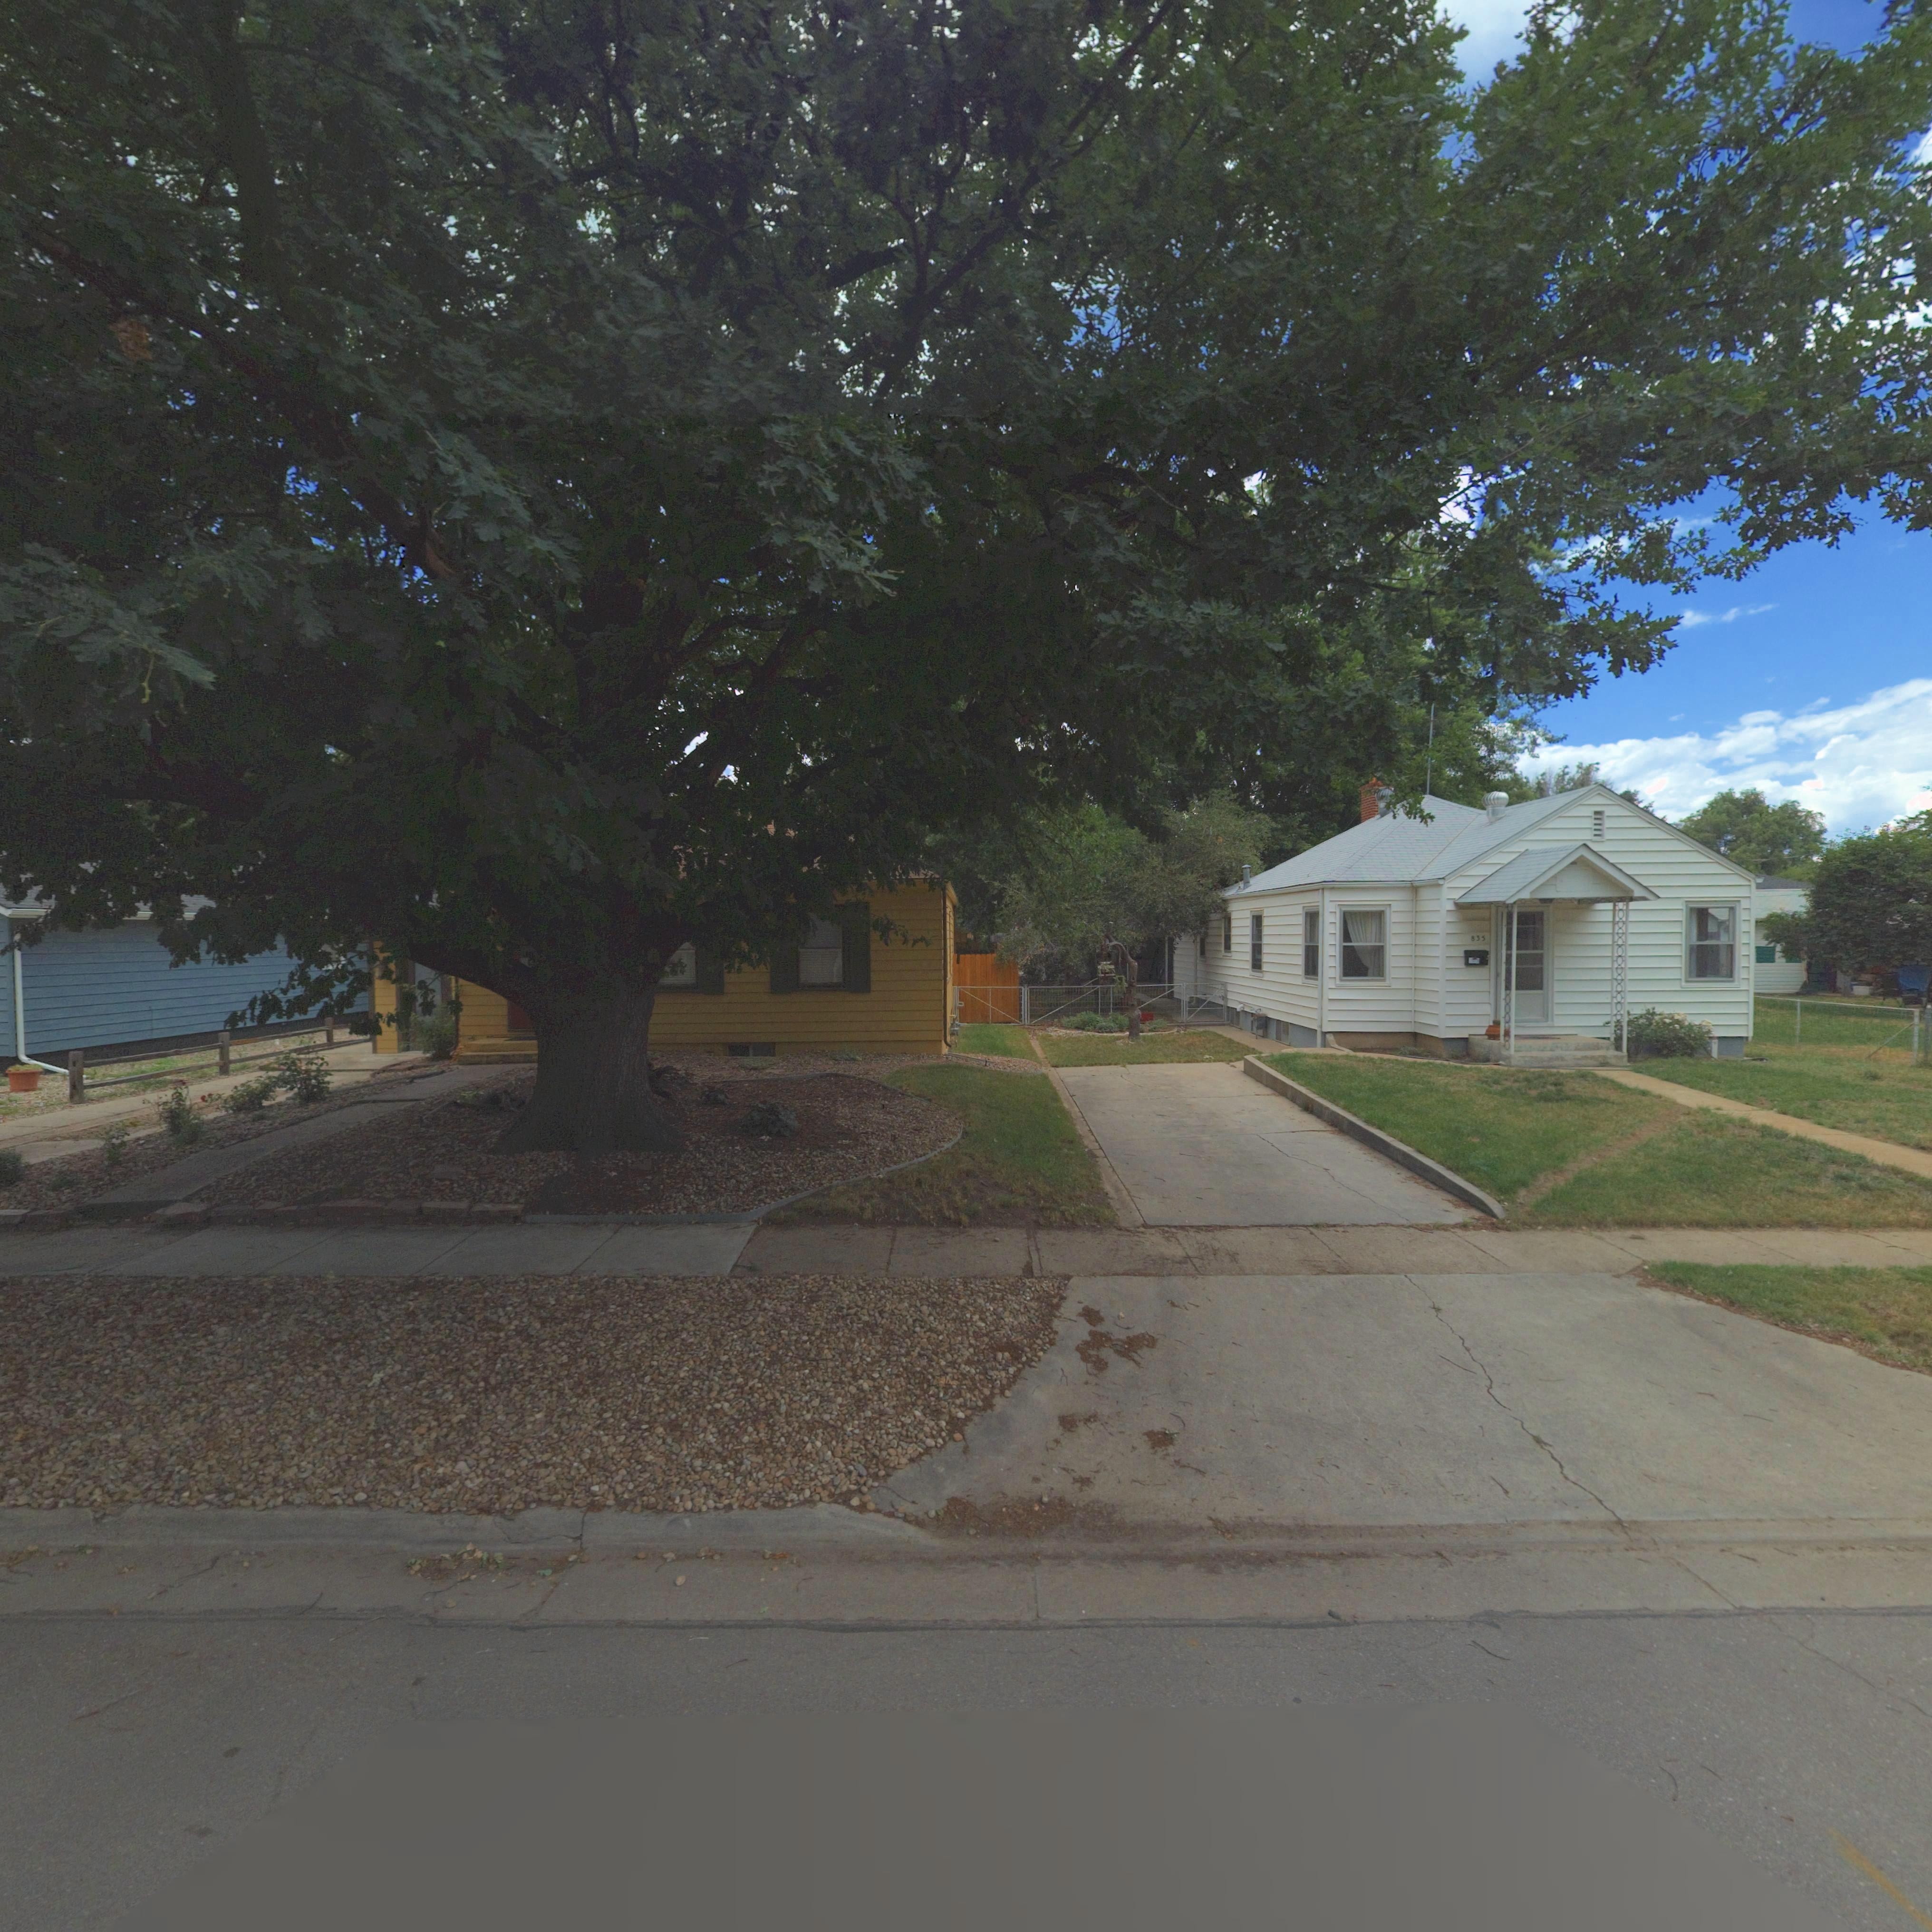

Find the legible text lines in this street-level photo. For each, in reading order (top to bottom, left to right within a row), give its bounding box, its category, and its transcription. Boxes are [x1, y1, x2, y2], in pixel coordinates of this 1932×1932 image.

[1470, 935, 1485, 941] StreetNumber: 835